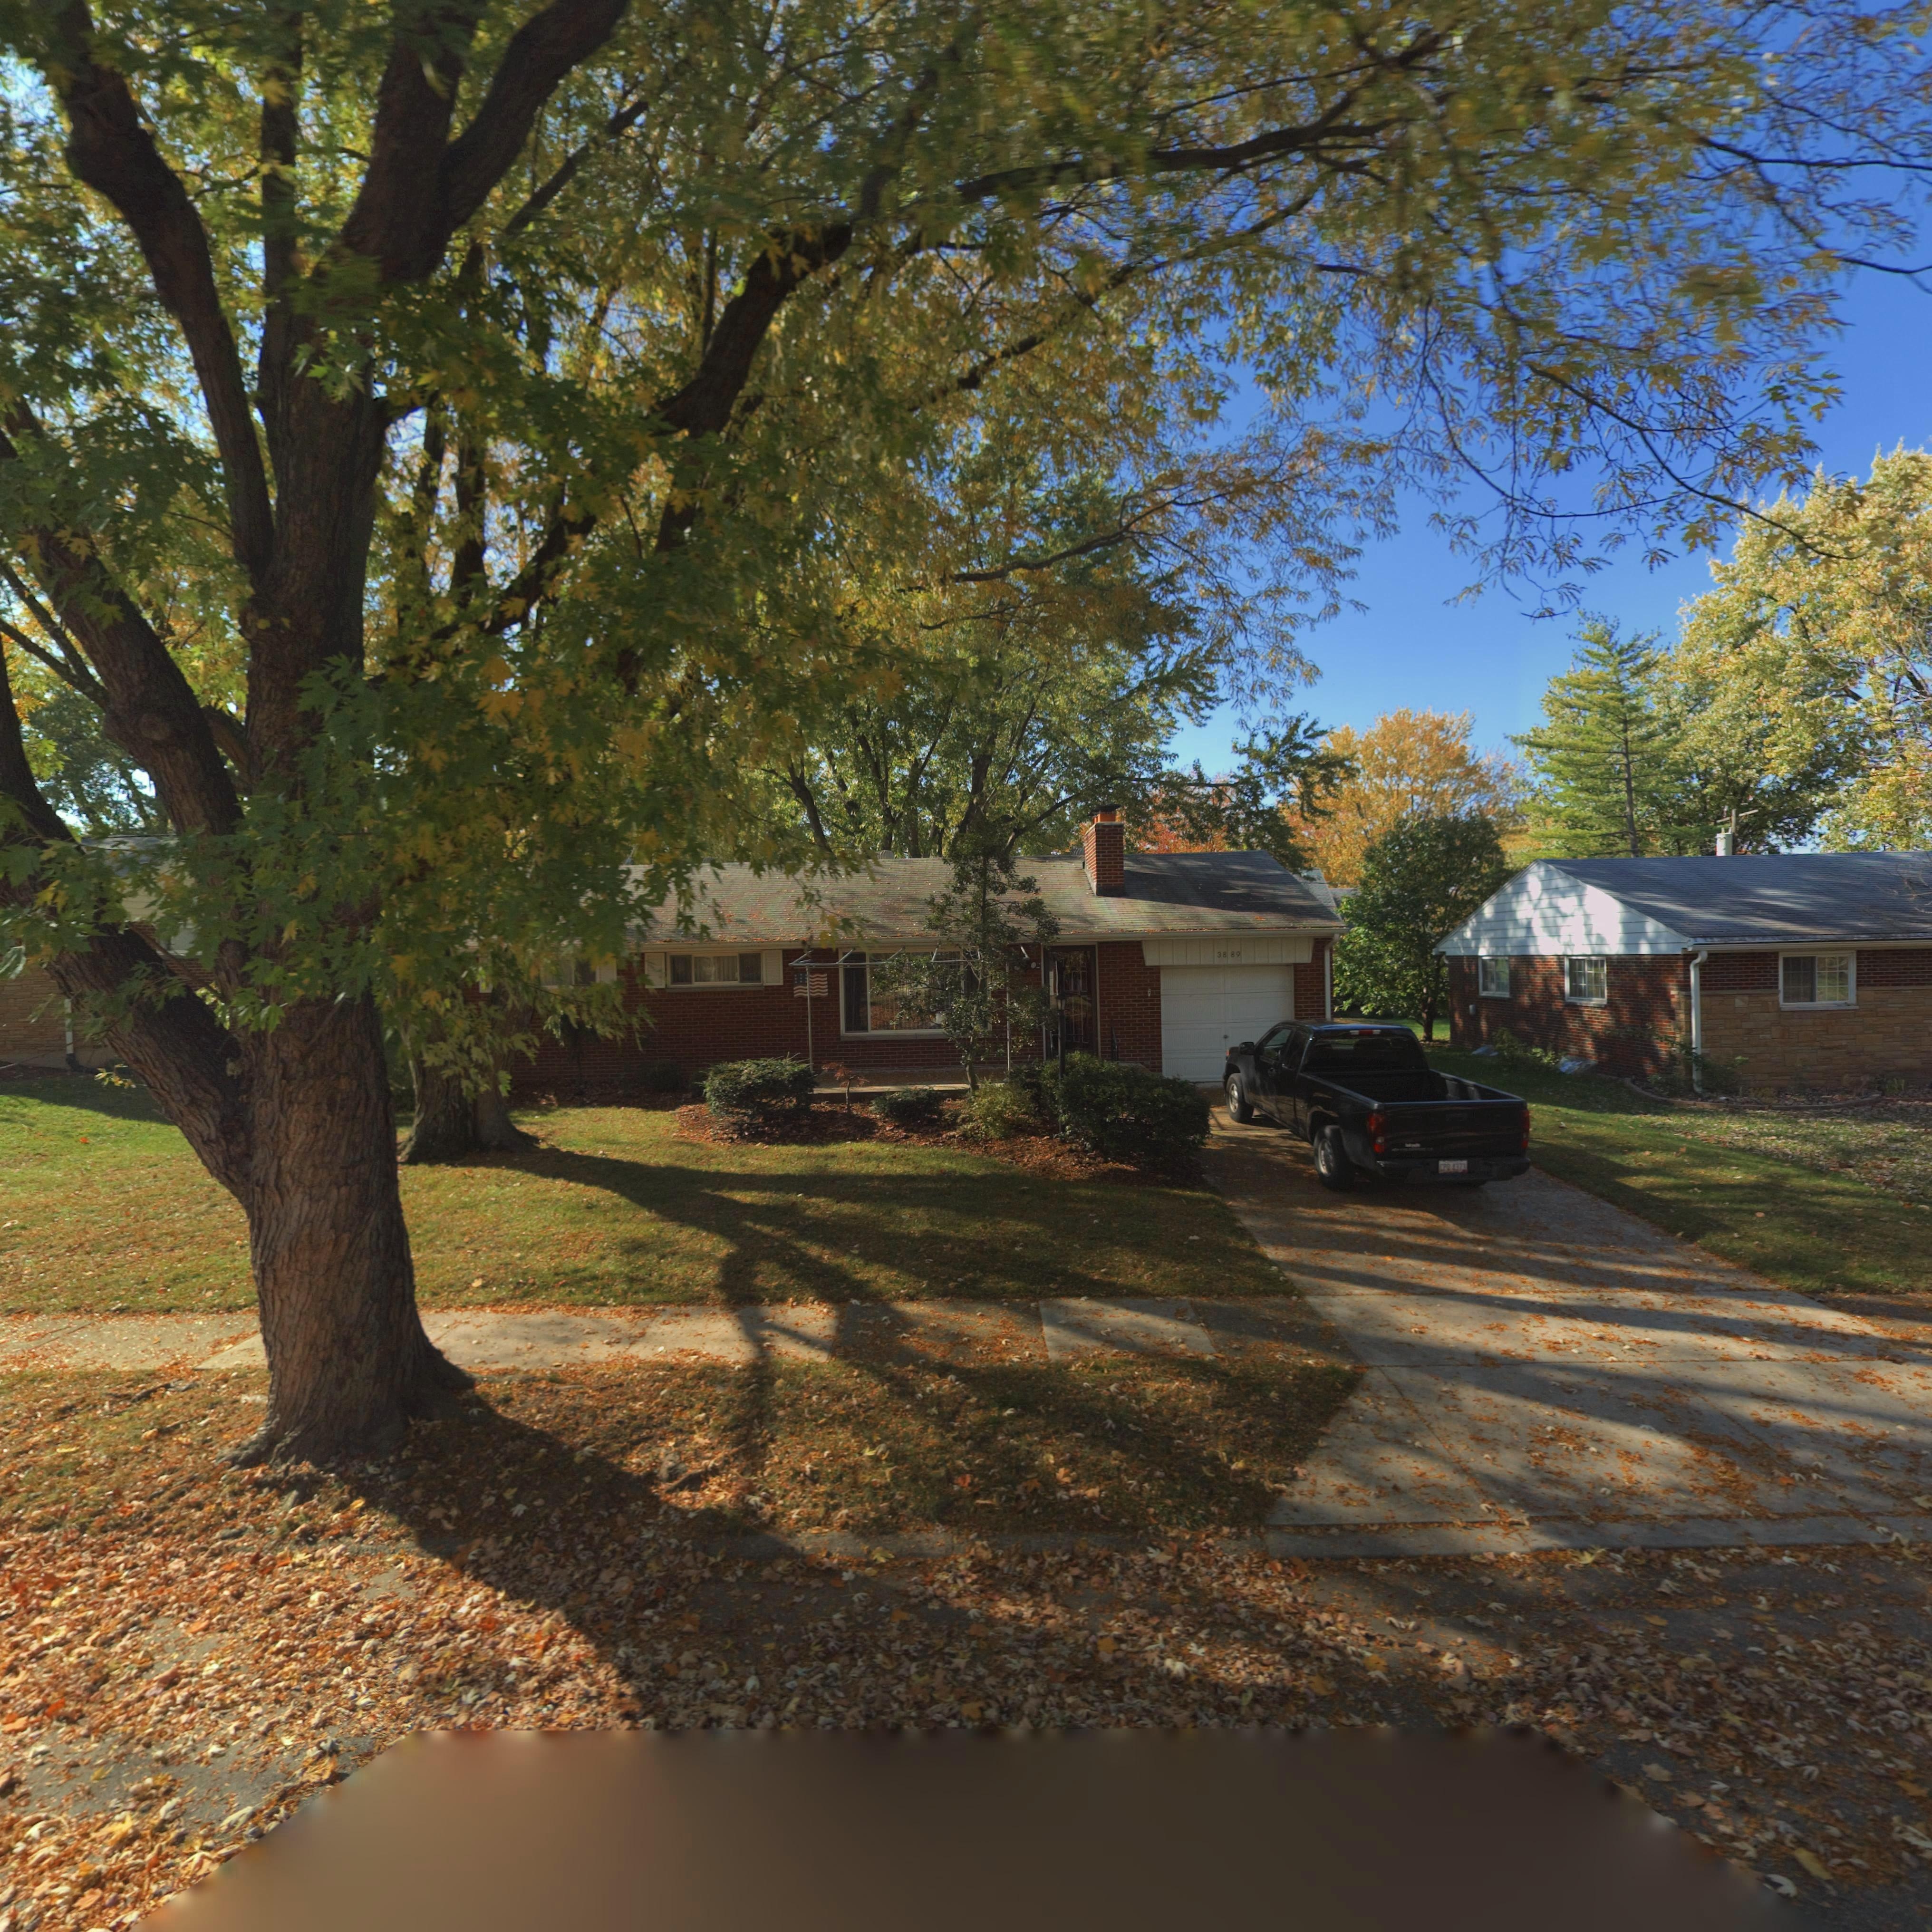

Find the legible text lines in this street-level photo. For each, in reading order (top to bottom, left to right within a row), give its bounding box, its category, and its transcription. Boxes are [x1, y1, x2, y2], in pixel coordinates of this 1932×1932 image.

[1217, 950, 1241, 959] StreetNumber: 38 89
[1439, 1162, 1467, 1174] None: CP* 437*